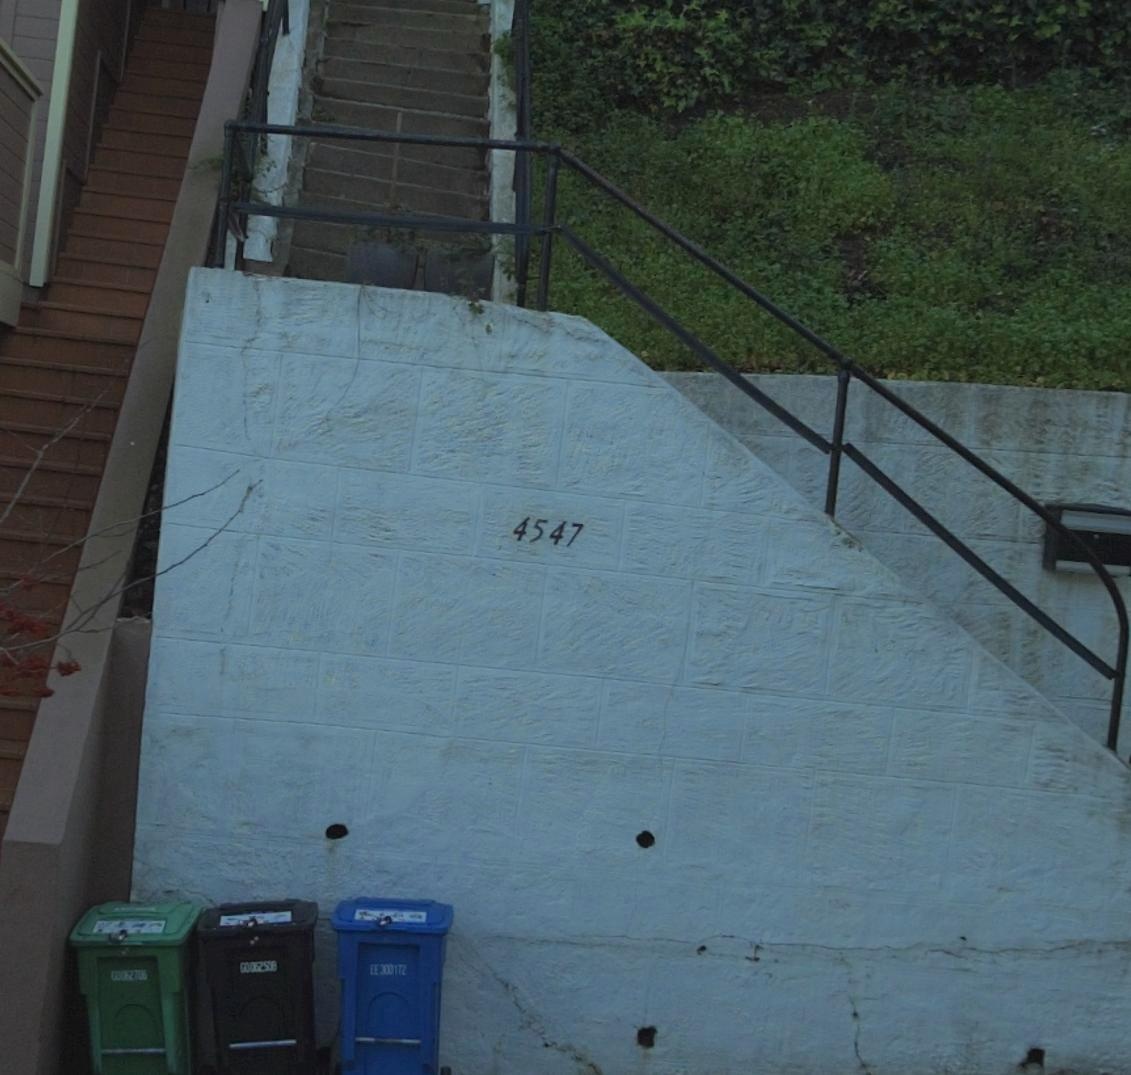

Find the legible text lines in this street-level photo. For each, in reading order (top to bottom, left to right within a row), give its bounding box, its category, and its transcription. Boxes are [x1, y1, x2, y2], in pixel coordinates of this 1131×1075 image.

[508, 516, 588, 548] StreetNumber: 4547
[111, 969, 148, 981] None: G0**708
[240, 960, 278, 974] None: G0052508
[369, 963, 409, 976] None: EE300172